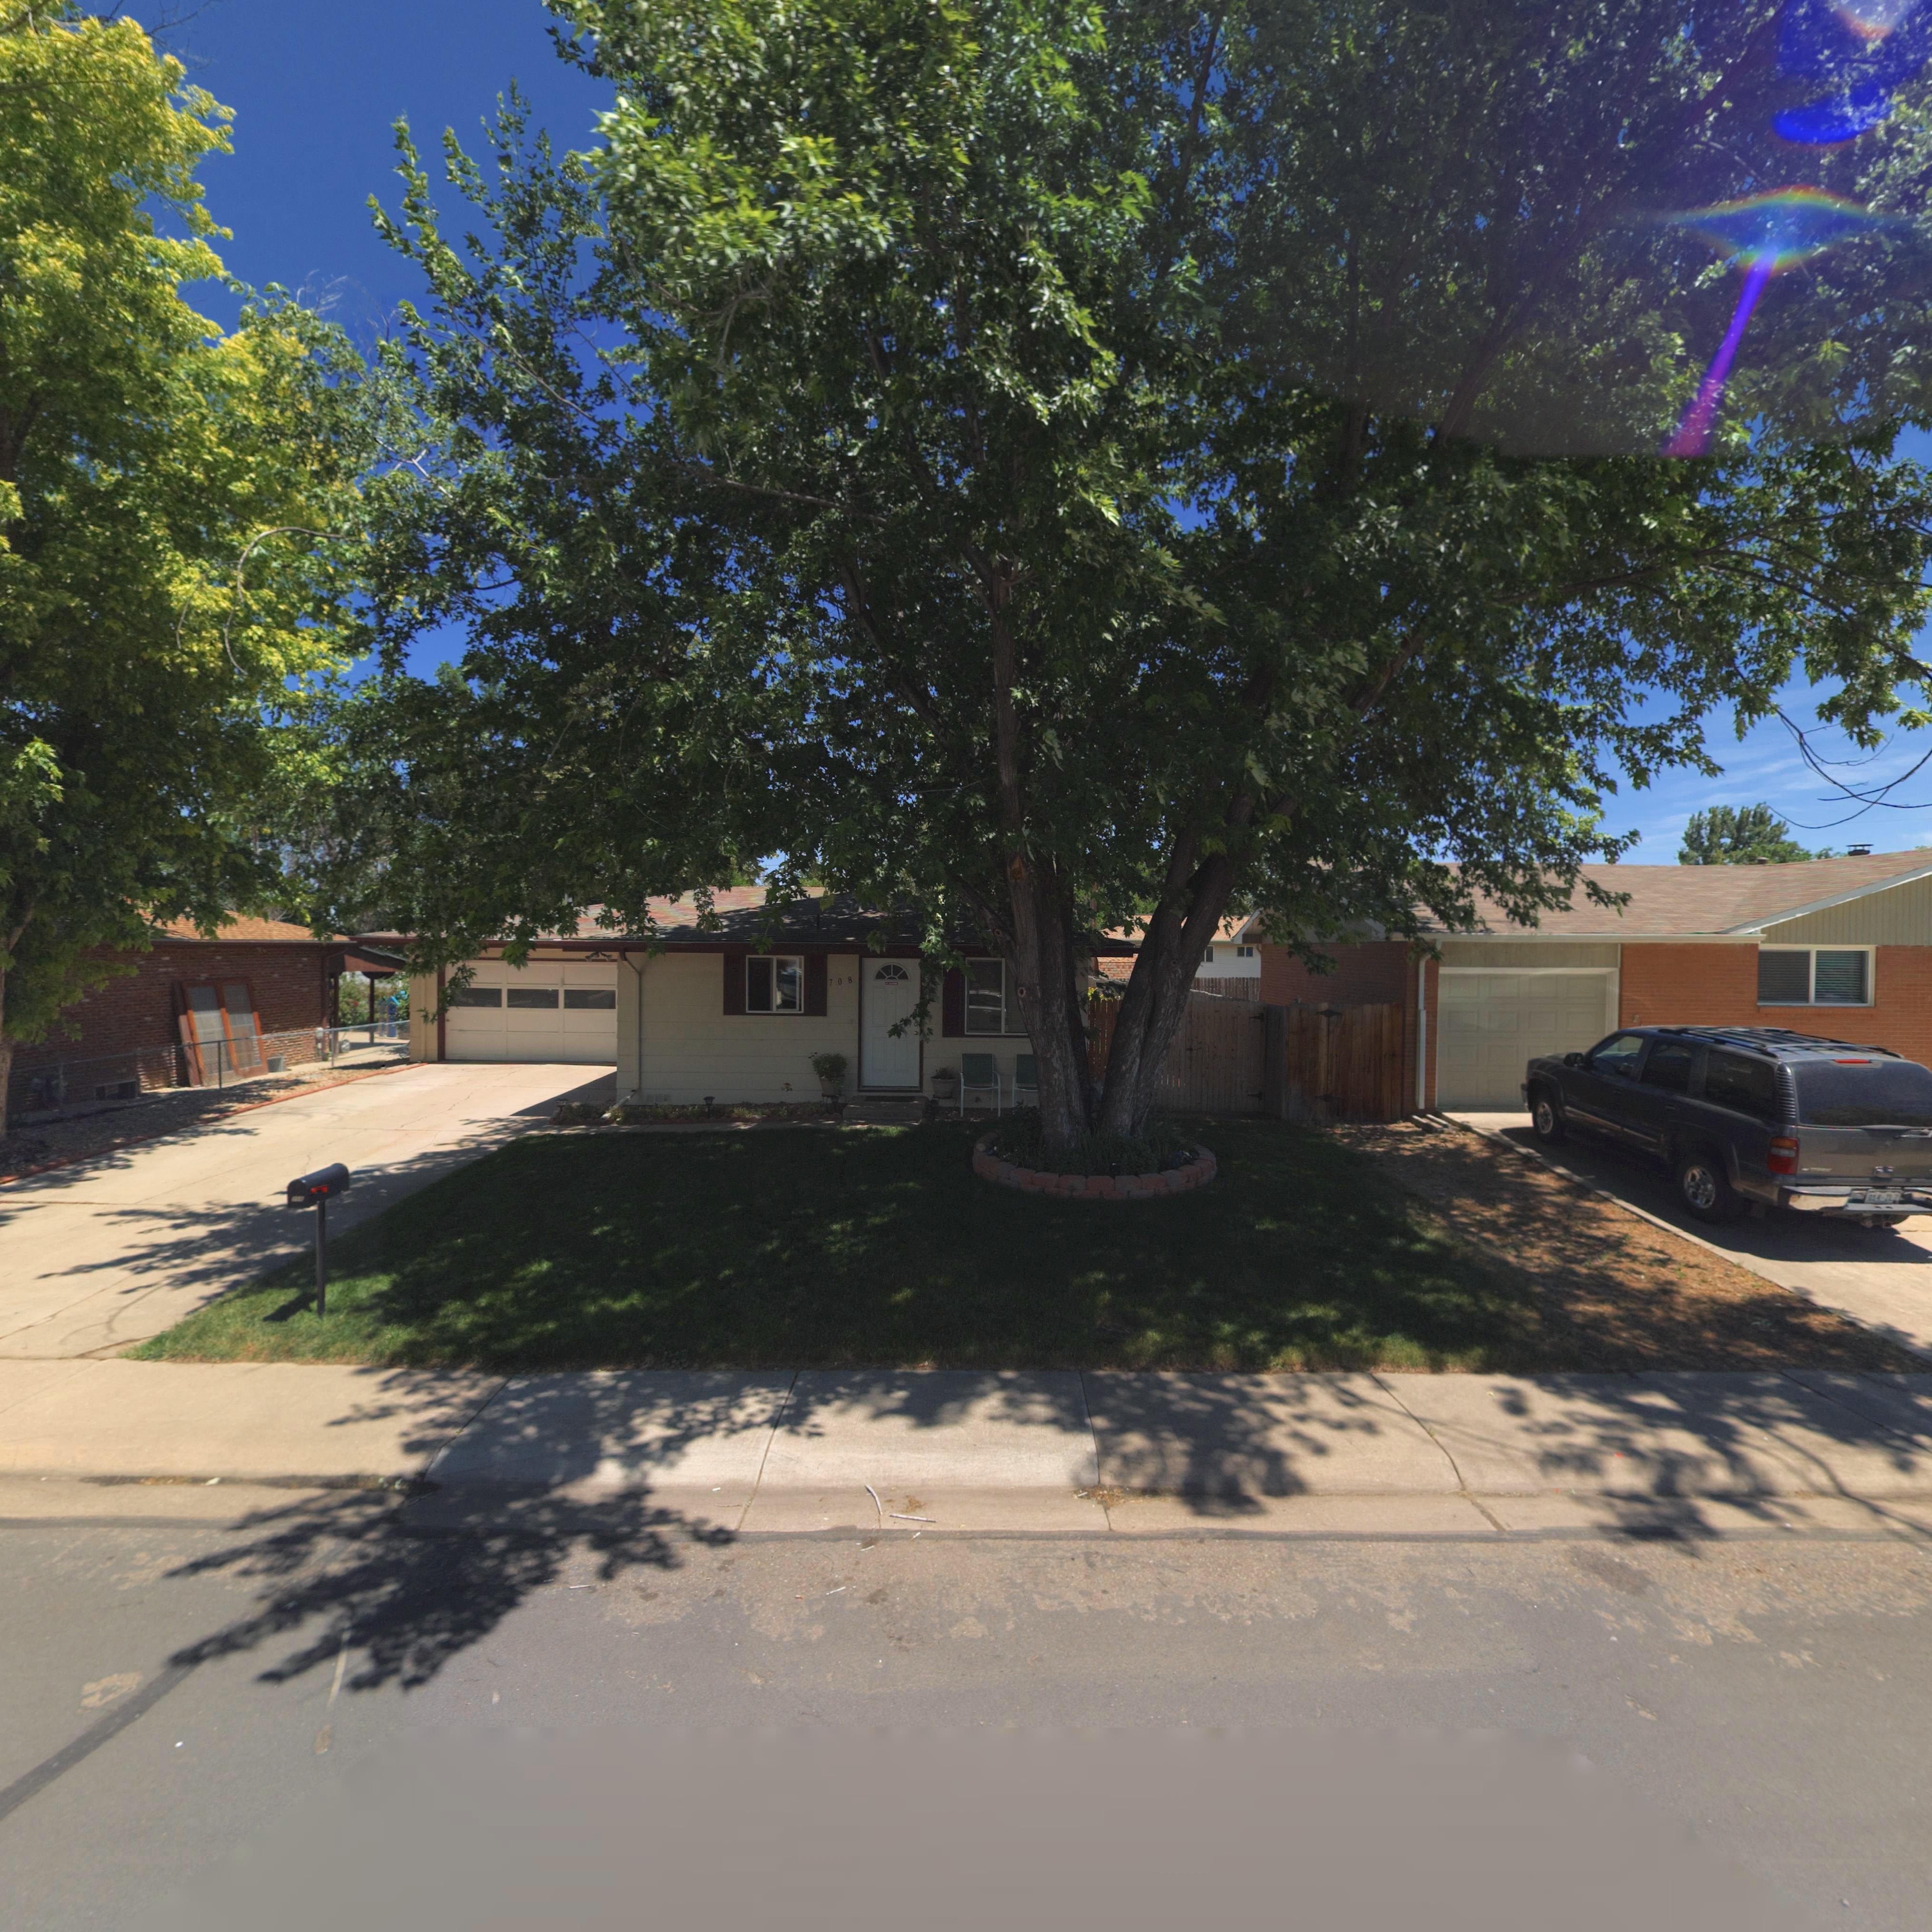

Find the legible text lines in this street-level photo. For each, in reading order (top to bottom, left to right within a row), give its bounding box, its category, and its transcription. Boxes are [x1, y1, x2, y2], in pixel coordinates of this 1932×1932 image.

[828, 976, 852, 987] StreetNumber: 708